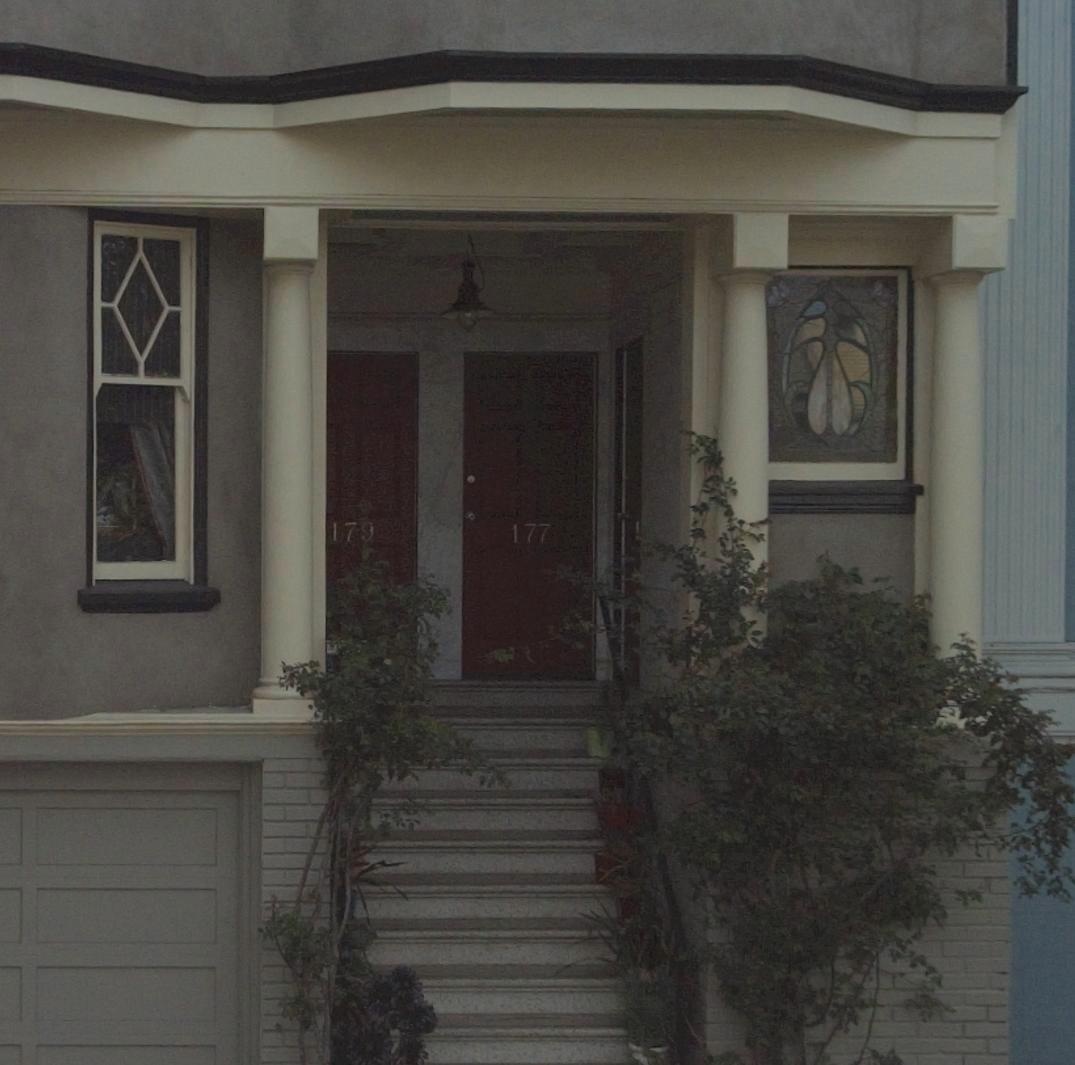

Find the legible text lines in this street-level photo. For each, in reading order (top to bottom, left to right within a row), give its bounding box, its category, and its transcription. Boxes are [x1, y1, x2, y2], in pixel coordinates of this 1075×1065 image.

[331, 520, 375, 543] StreetNumber: 179
[509, 521, 553, 545] StreetNumber: 177